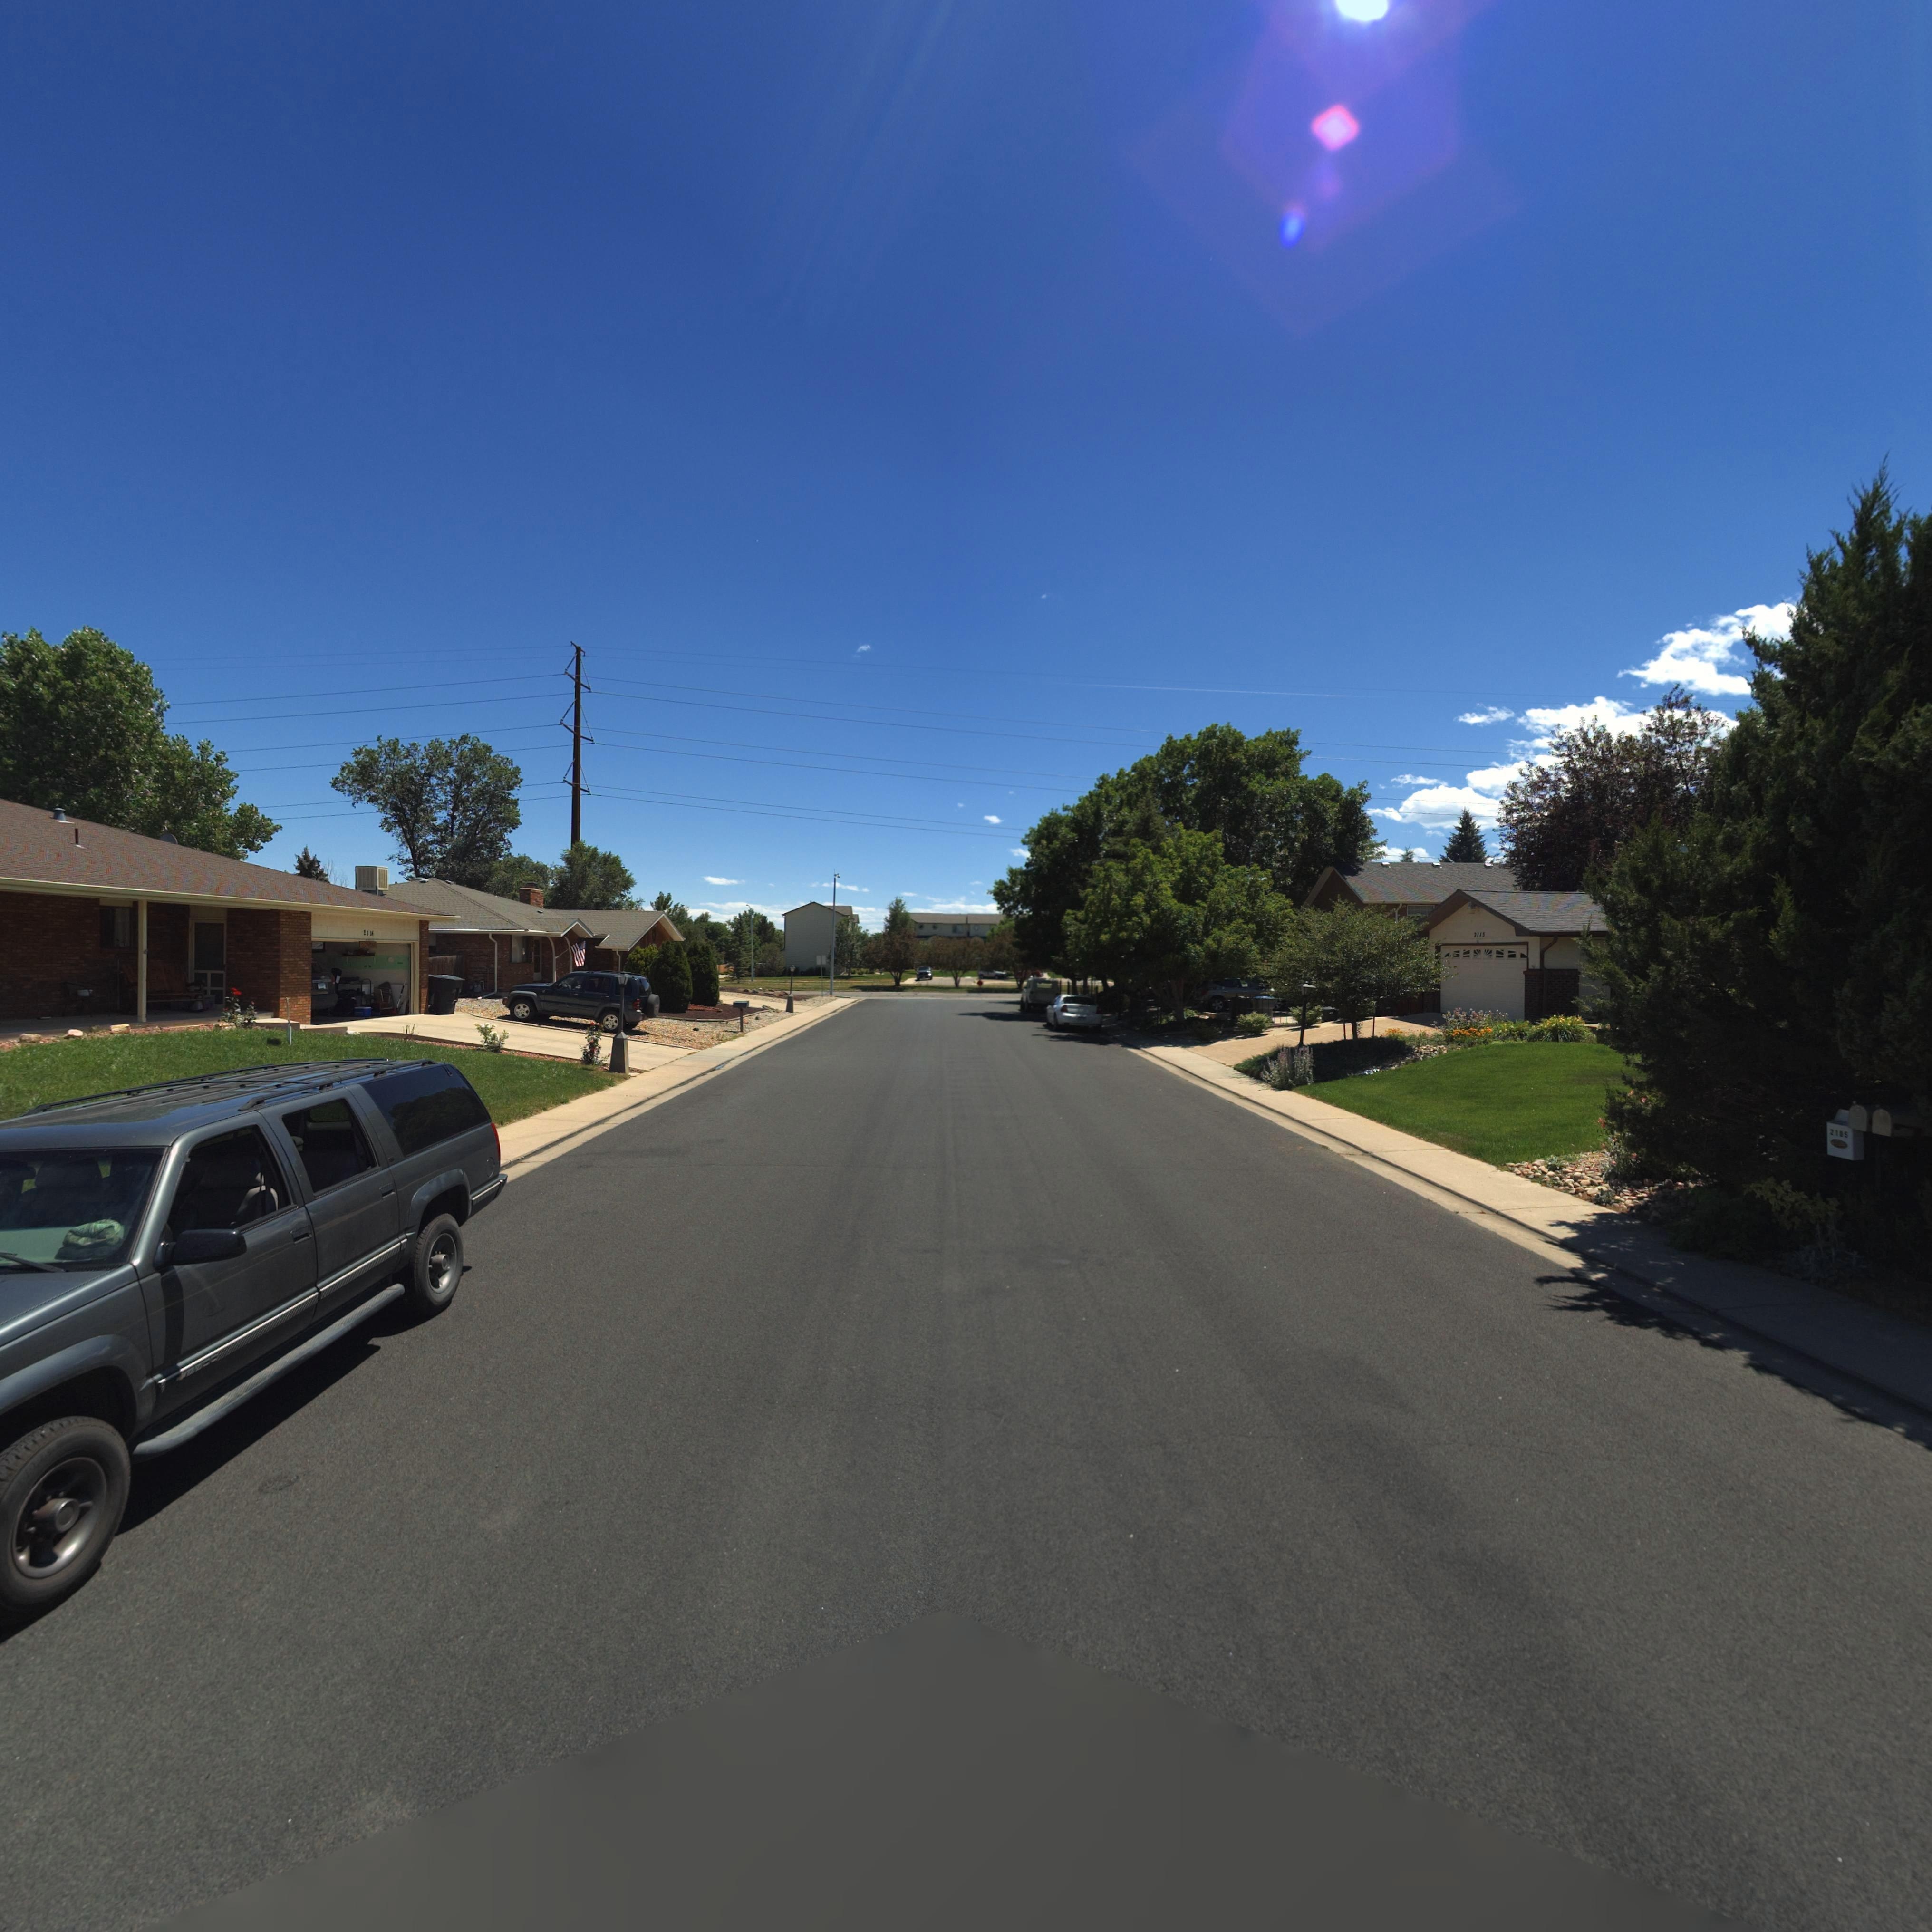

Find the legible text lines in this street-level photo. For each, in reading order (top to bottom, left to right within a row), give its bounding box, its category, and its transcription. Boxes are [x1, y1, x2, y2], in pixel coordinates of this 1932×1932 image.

[363, 929, 374, 937] StreetNumber: 2114
[1473, 931, 1486, 937] StreetNumber: 2113
[1829, 1128, 1849, 1138] StreetNumber: 2105